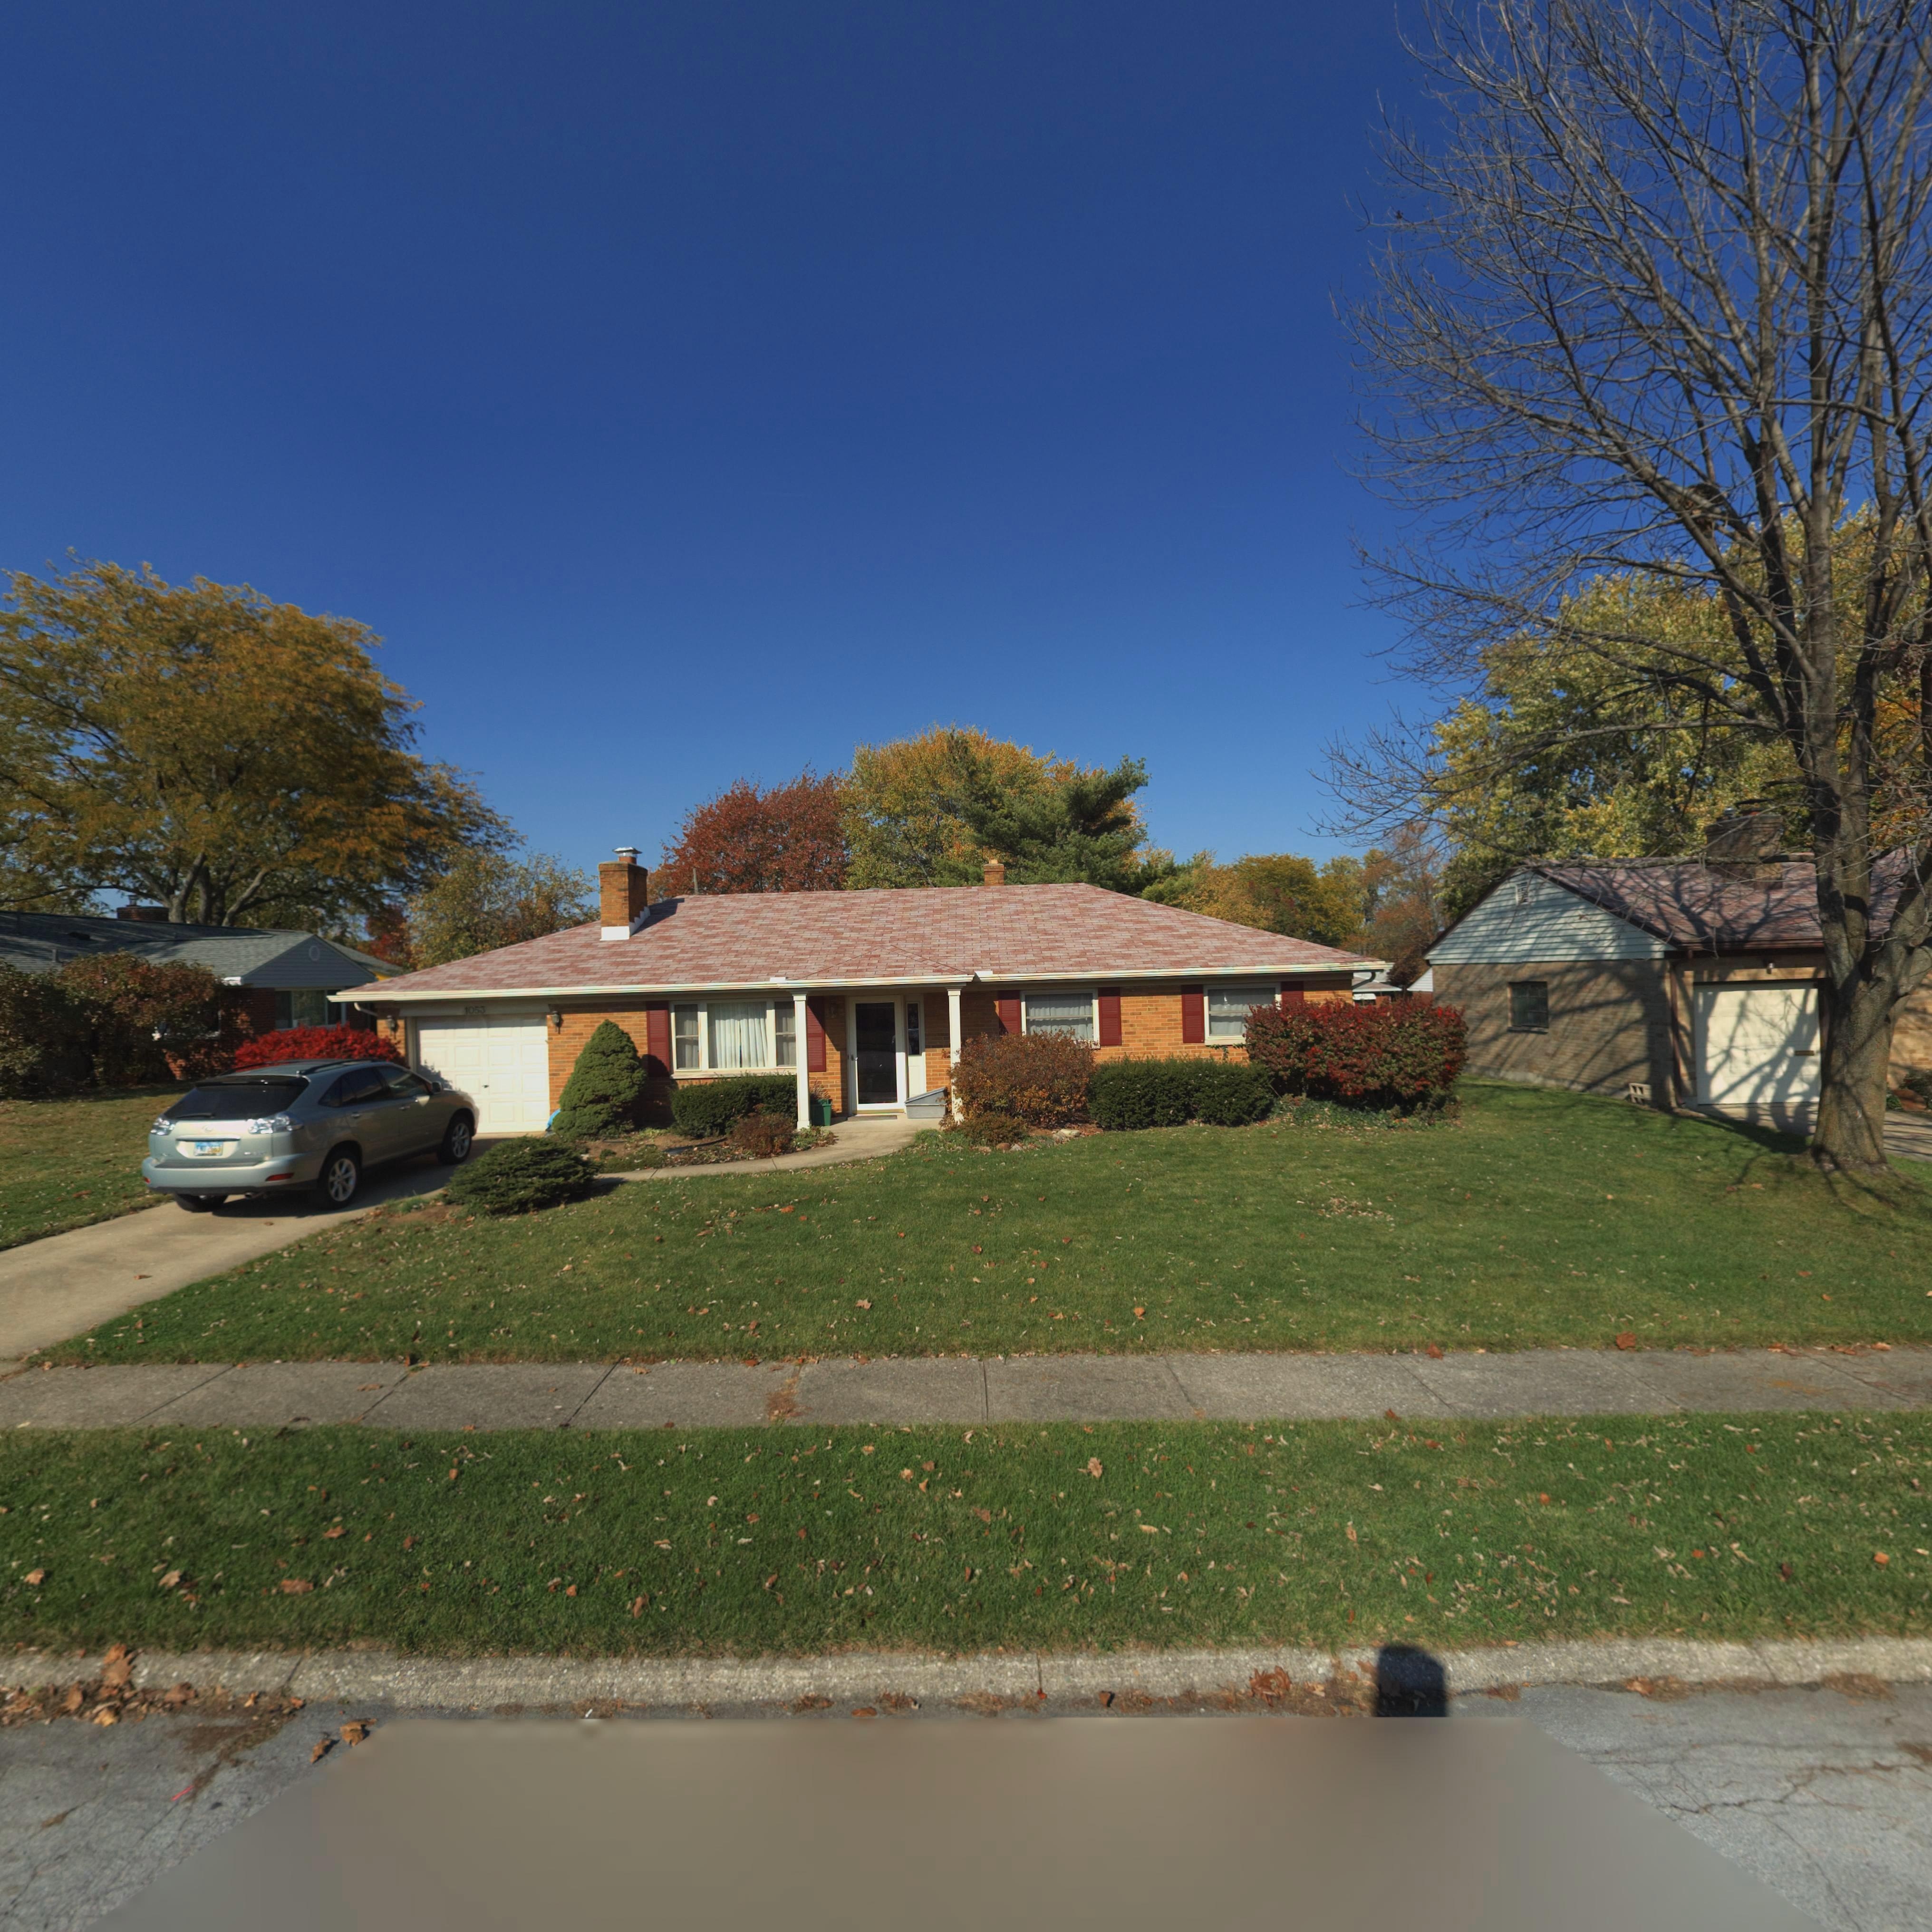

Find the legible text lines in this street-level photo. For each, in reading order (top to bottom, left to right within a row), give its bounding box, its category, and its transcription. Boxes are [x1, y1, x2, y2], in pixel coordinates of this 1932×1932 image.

[464, 1005, 486, 1014] StreetNumber: 1053